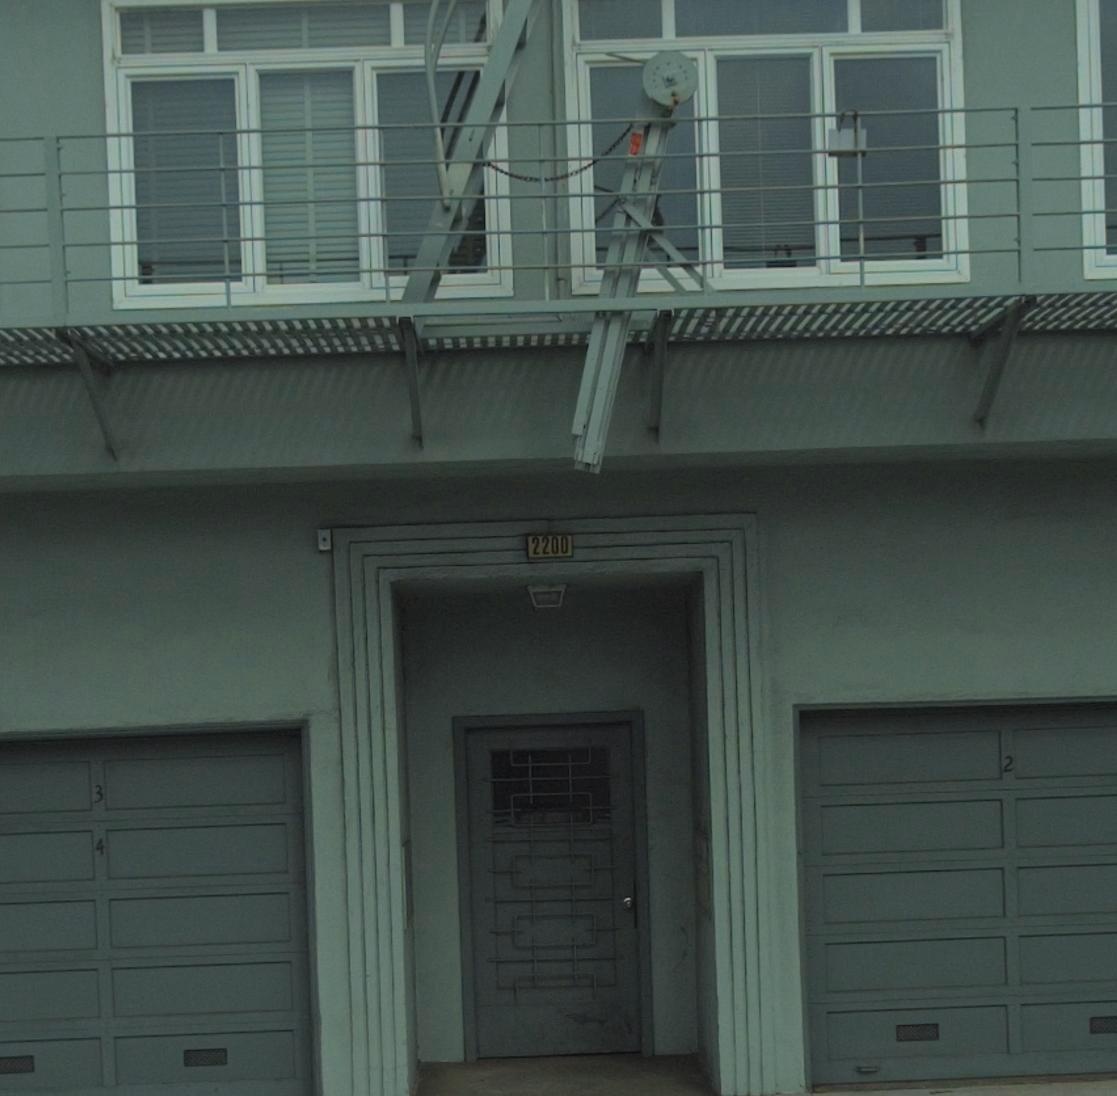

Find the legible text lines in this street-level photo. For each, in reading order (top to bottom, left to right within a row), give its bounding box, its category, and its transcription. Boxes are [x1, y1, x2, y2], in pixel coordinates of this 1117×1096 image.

[530, 535, 569, 556] StreetNumber: 2200
[1002, 754, 1014, 773] StreetNumber: 2
[93, 783, 104, 804] StreetNumber: 3
[94, 837, 106, 856] StreetNumber: 4